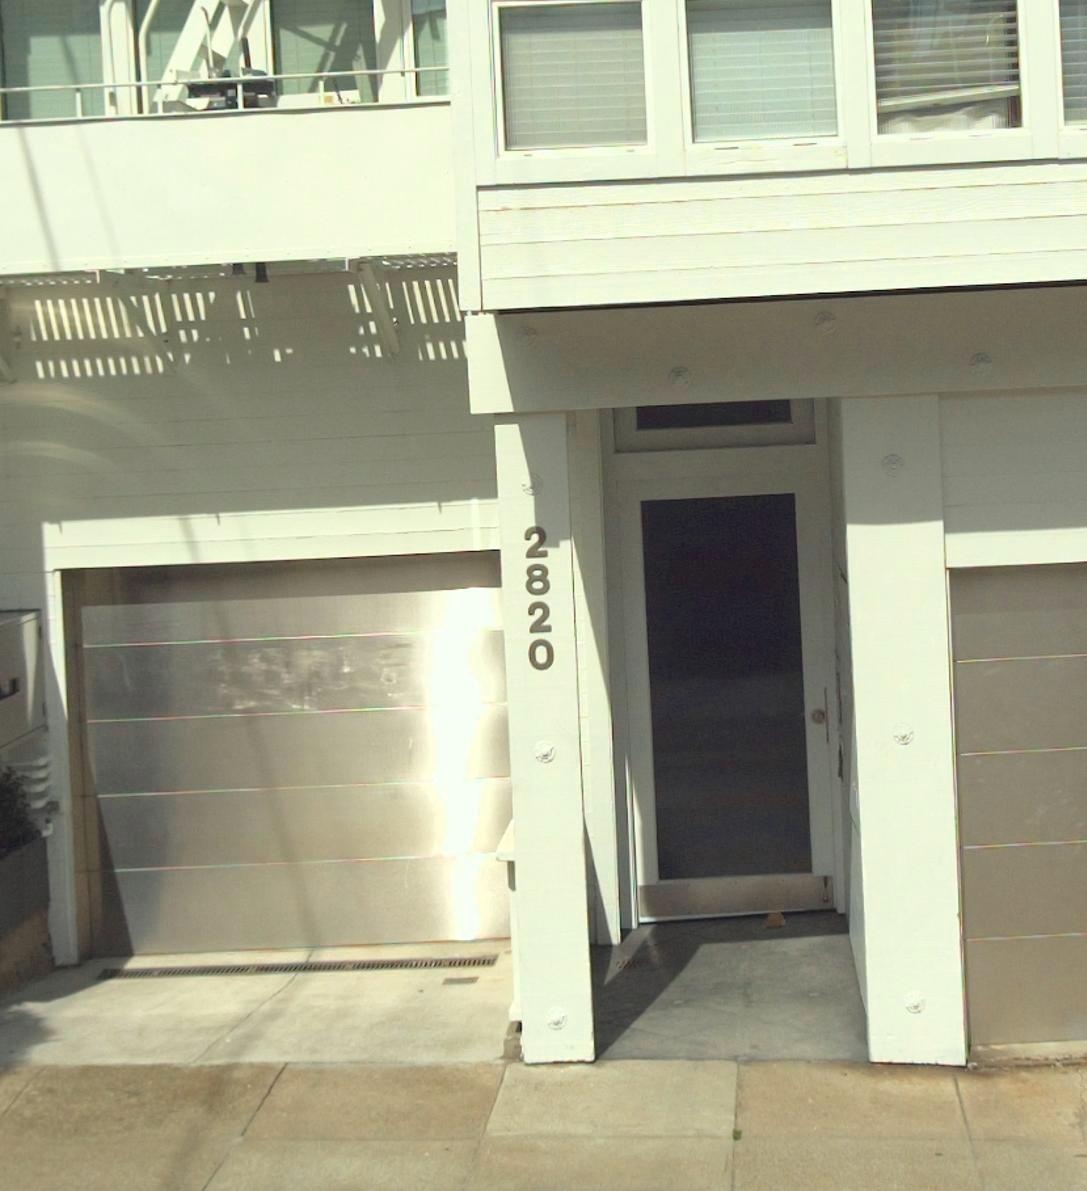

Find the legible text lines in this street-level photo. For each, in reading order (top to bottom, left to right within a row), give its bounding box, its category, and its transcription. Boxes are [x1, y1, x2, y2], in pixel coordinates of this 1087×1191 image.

[521, 523, 557, 676] StreetNumber: 2820